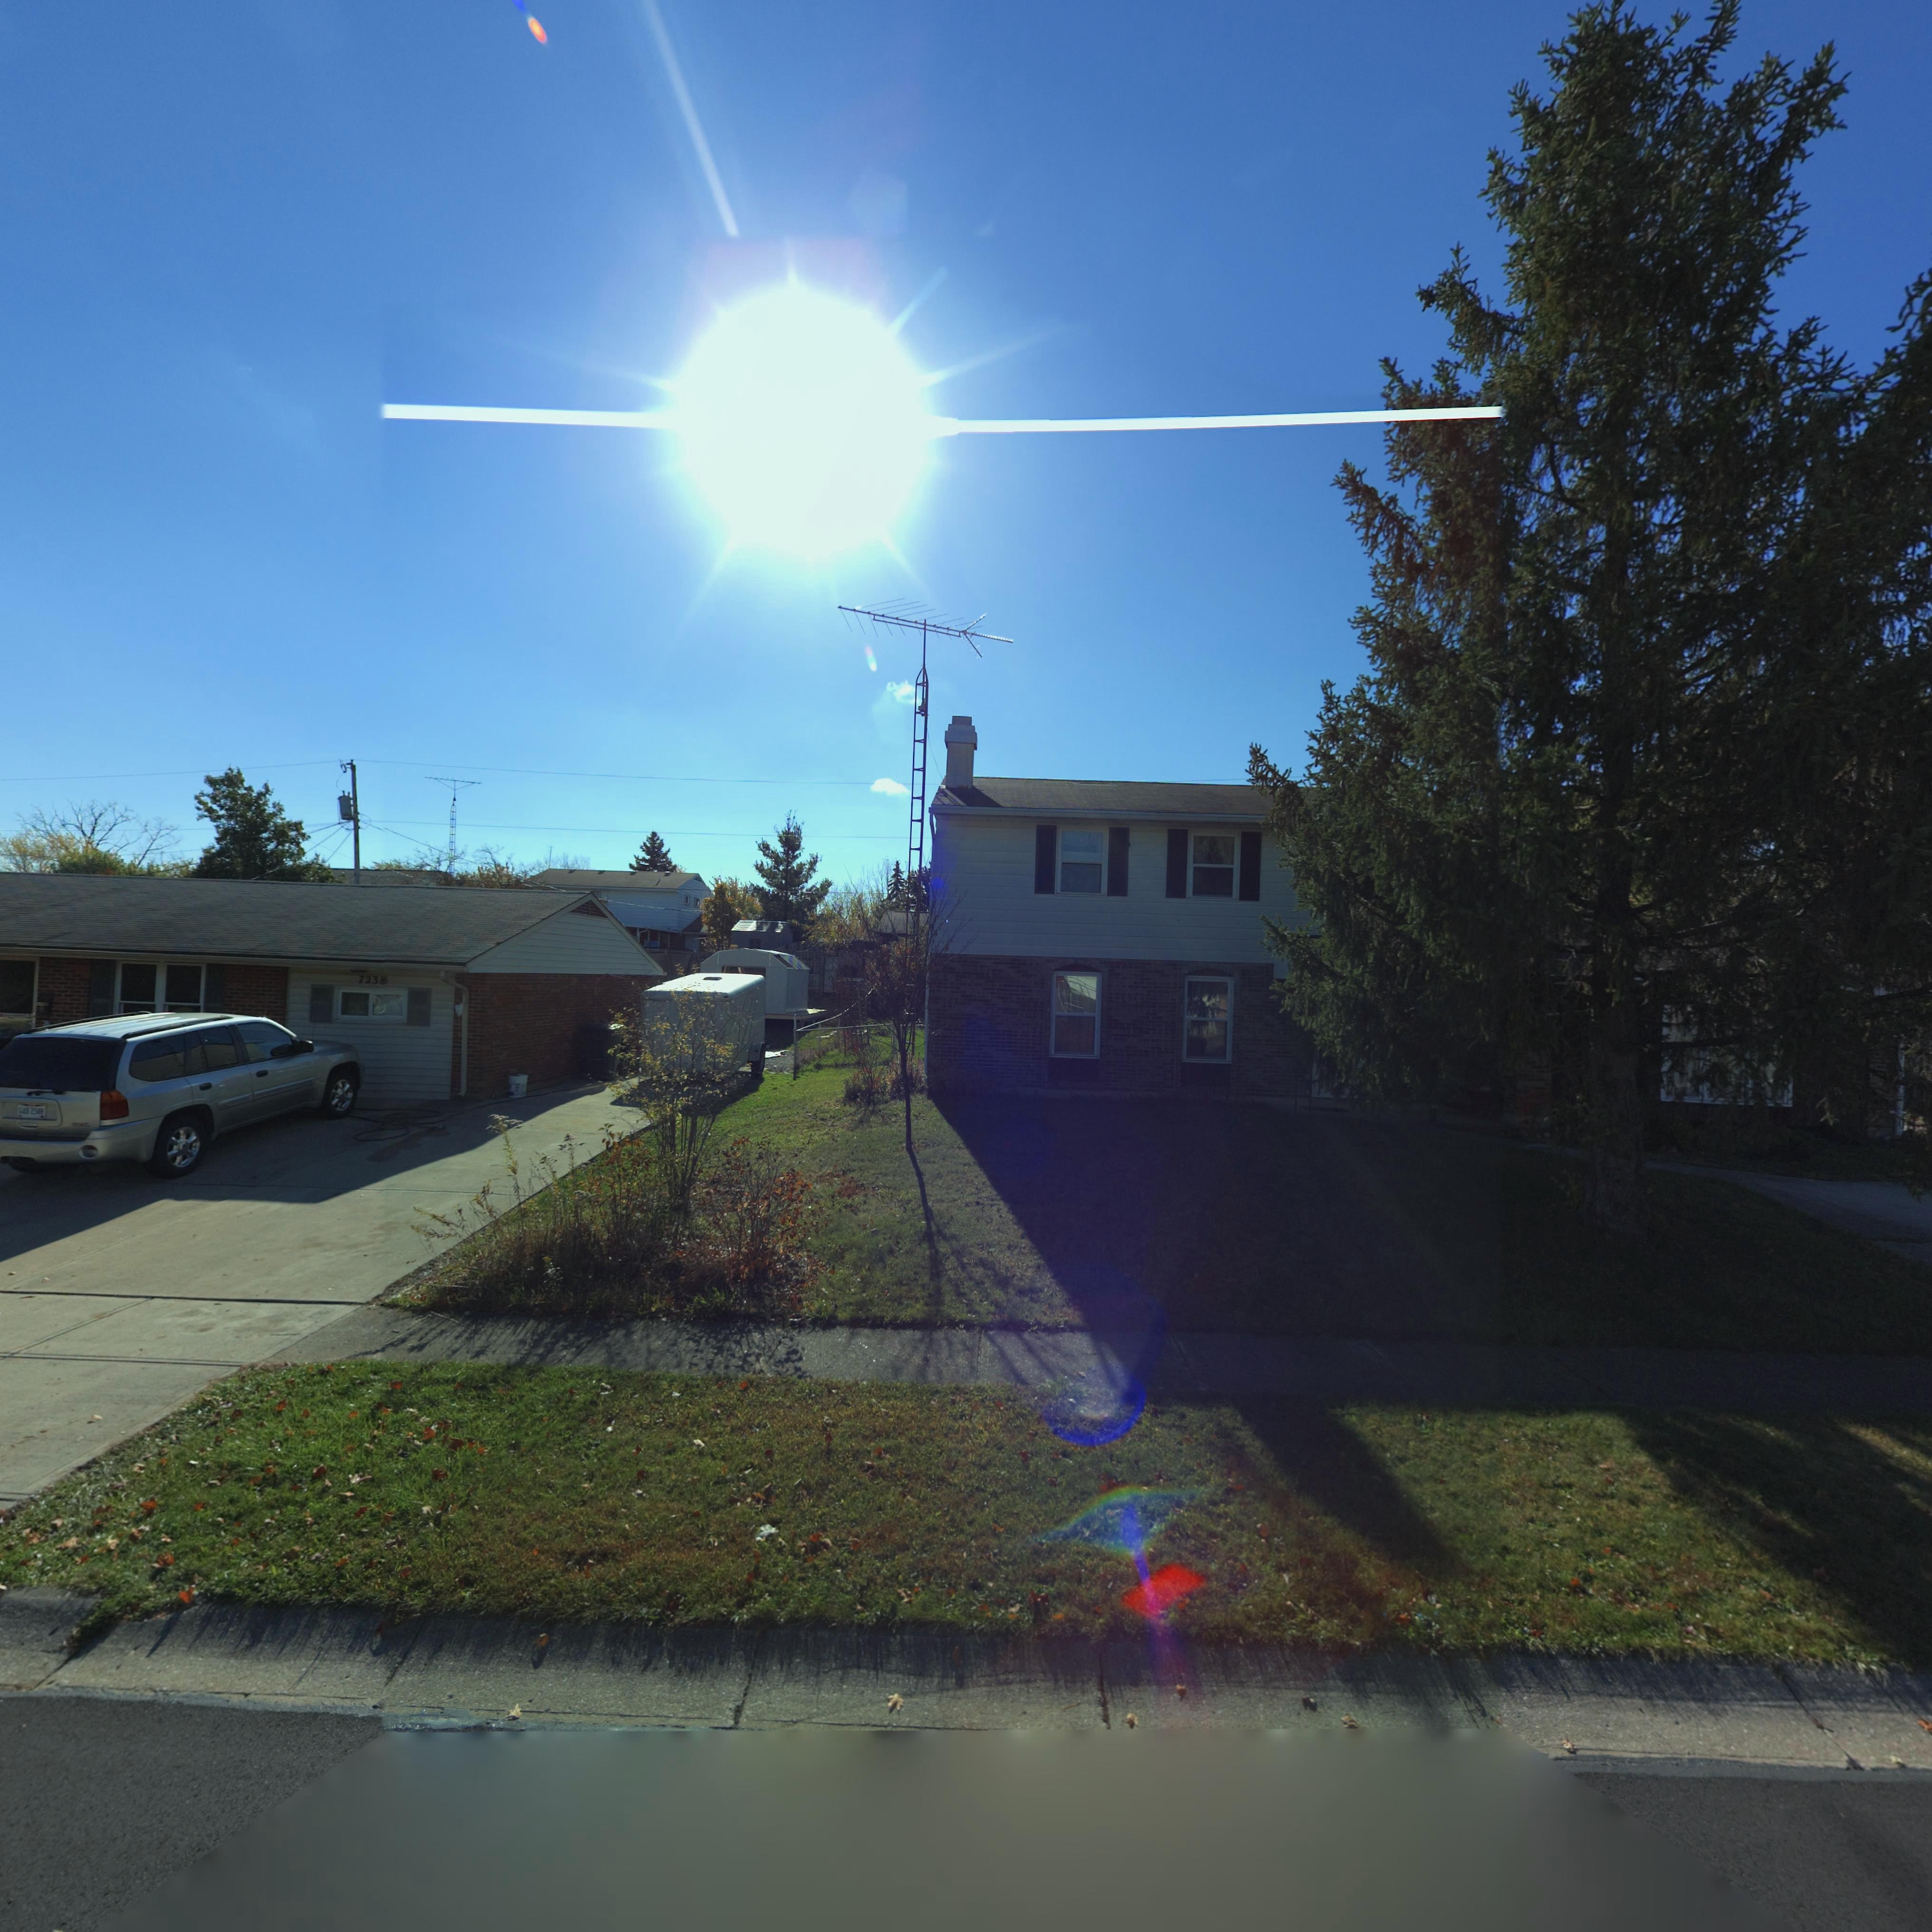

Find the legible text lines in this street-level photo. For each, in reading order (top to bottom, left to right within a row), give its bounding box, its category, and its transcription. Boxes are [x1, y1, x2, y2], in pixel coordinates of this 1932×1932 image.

[357, 975, 386, 986] StreetNumber: 723*